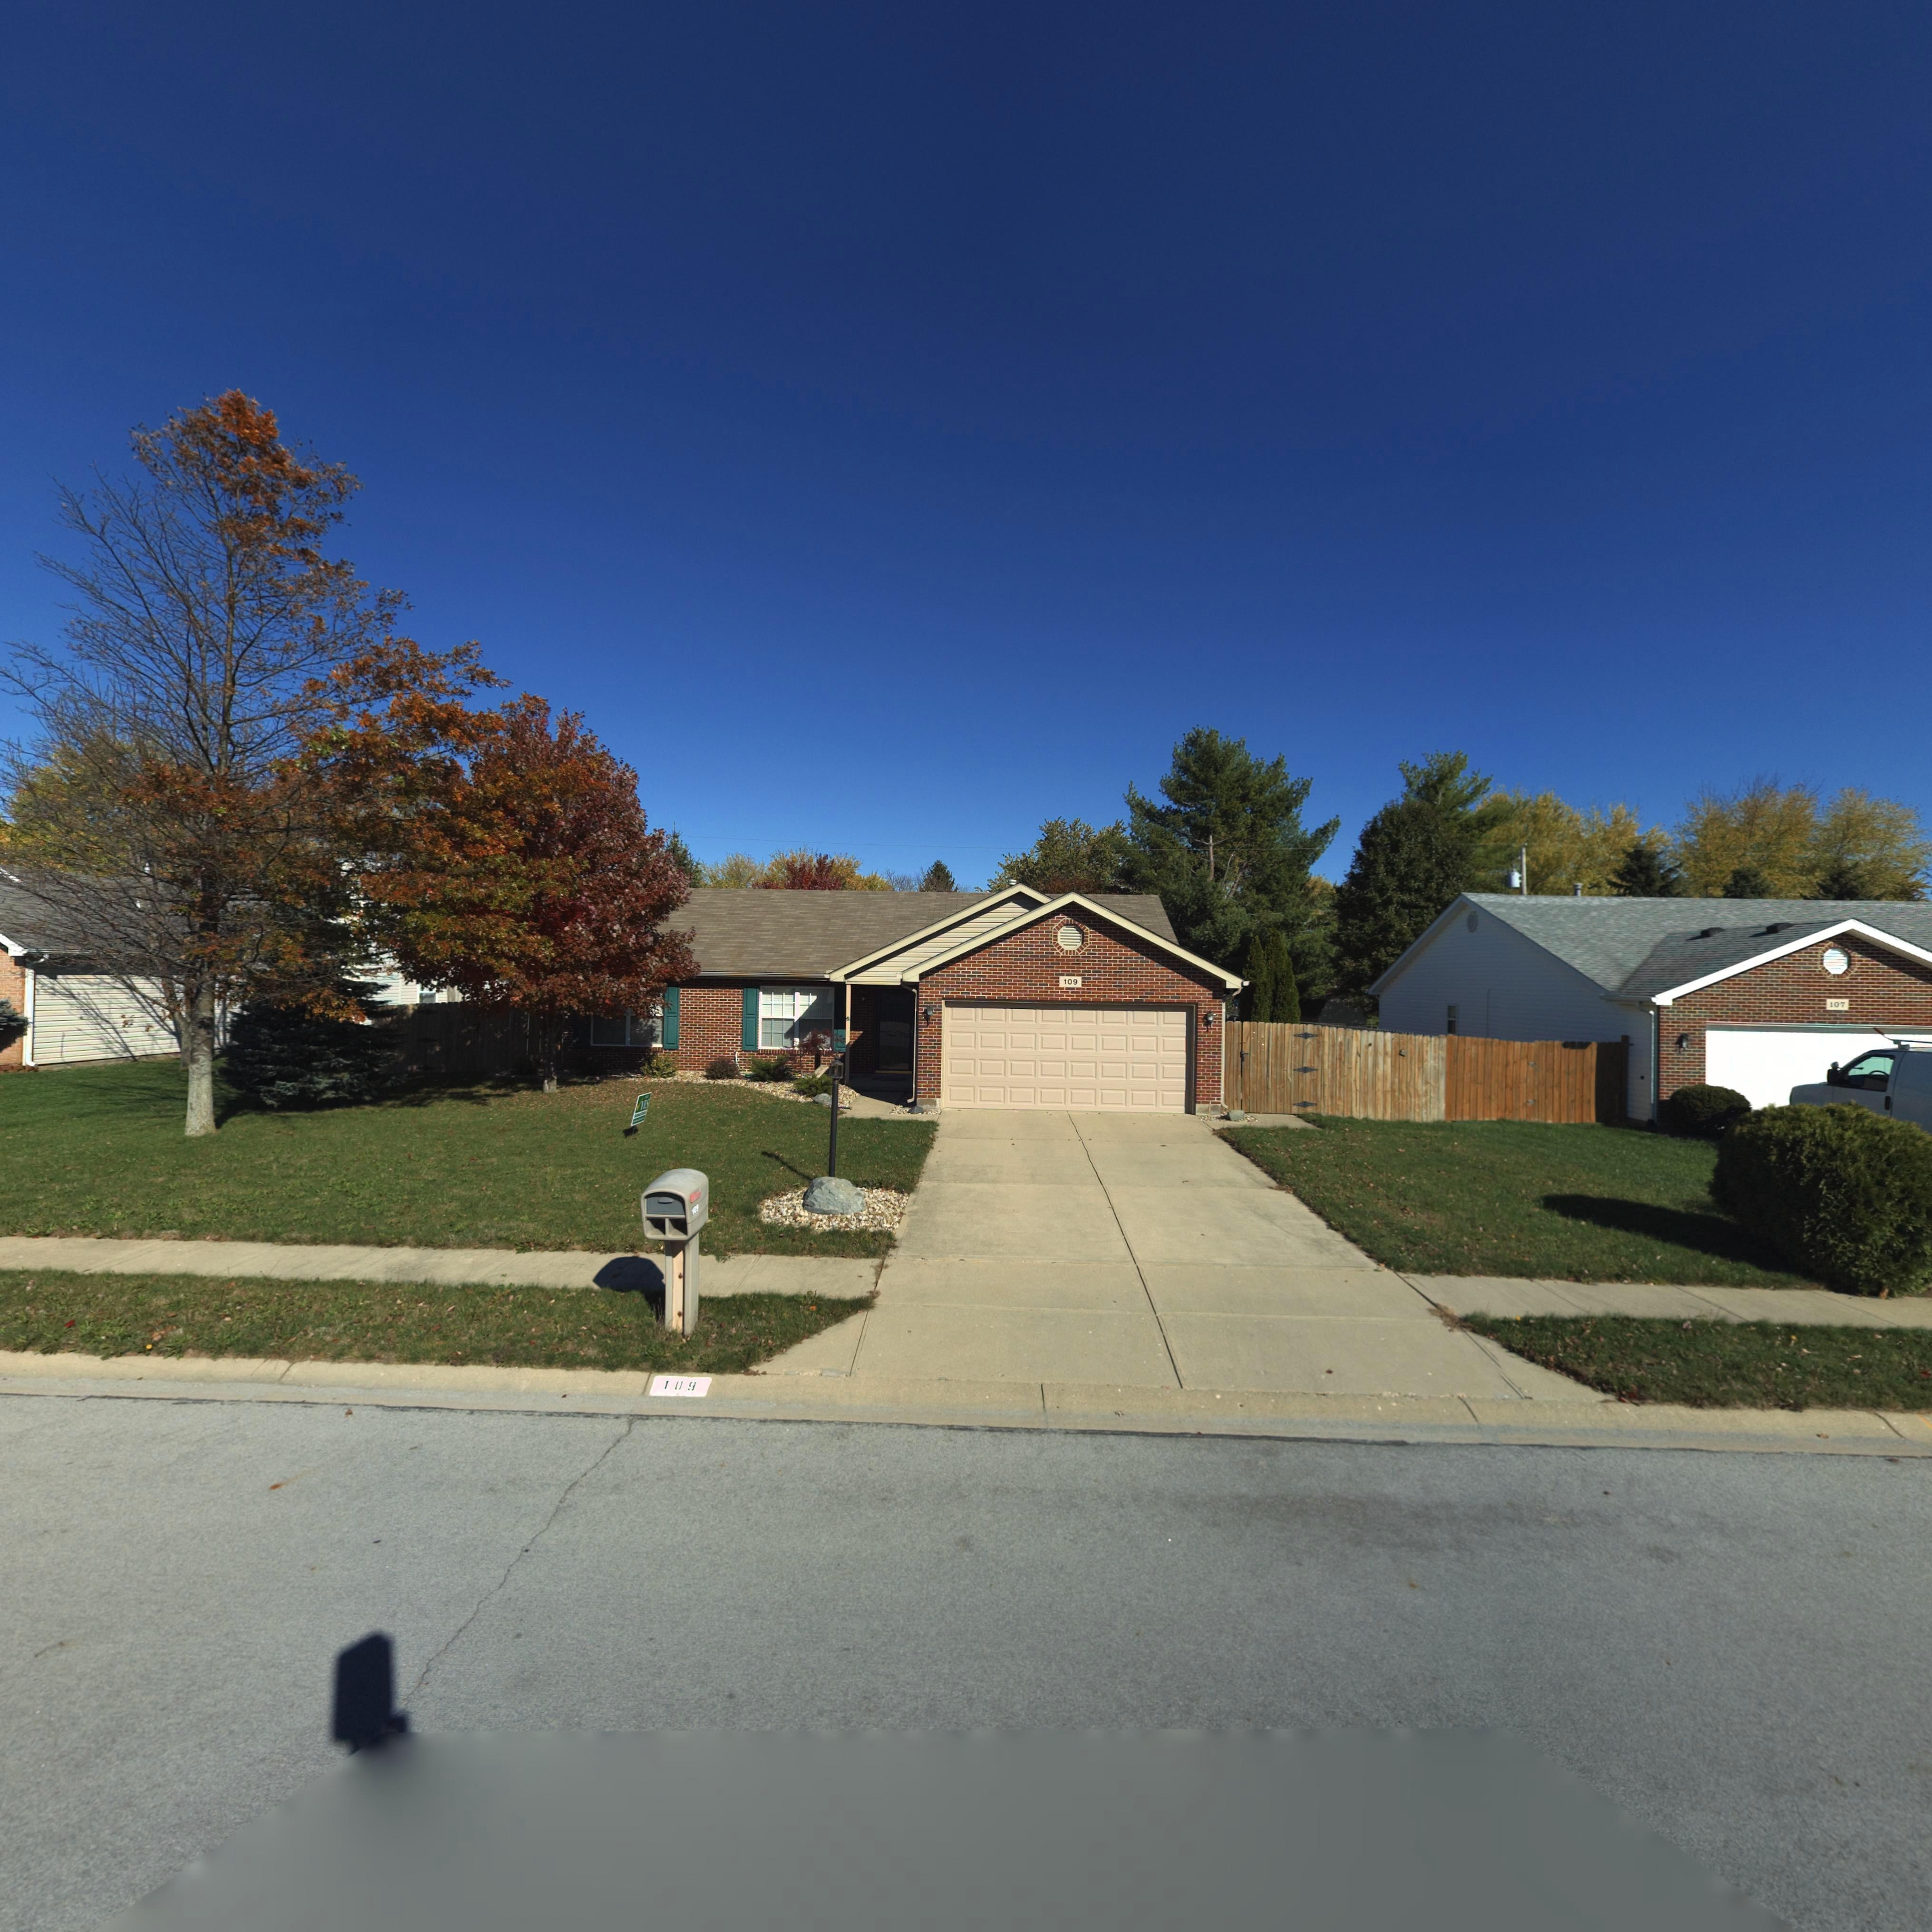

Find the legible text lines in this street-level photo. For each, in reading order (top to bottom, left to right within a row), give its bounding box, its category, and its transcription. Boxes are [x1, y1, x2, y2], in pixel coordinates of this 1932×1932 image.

[1063, 978, 1078, 985] StreetNumber: 109
[1829, 1001, 1846, 1008] StreetNumber: 107
[691, 1203, 699, 1216] StreetNumber: 109
[664, 1380, 697, 1391] StreetNumber: 109